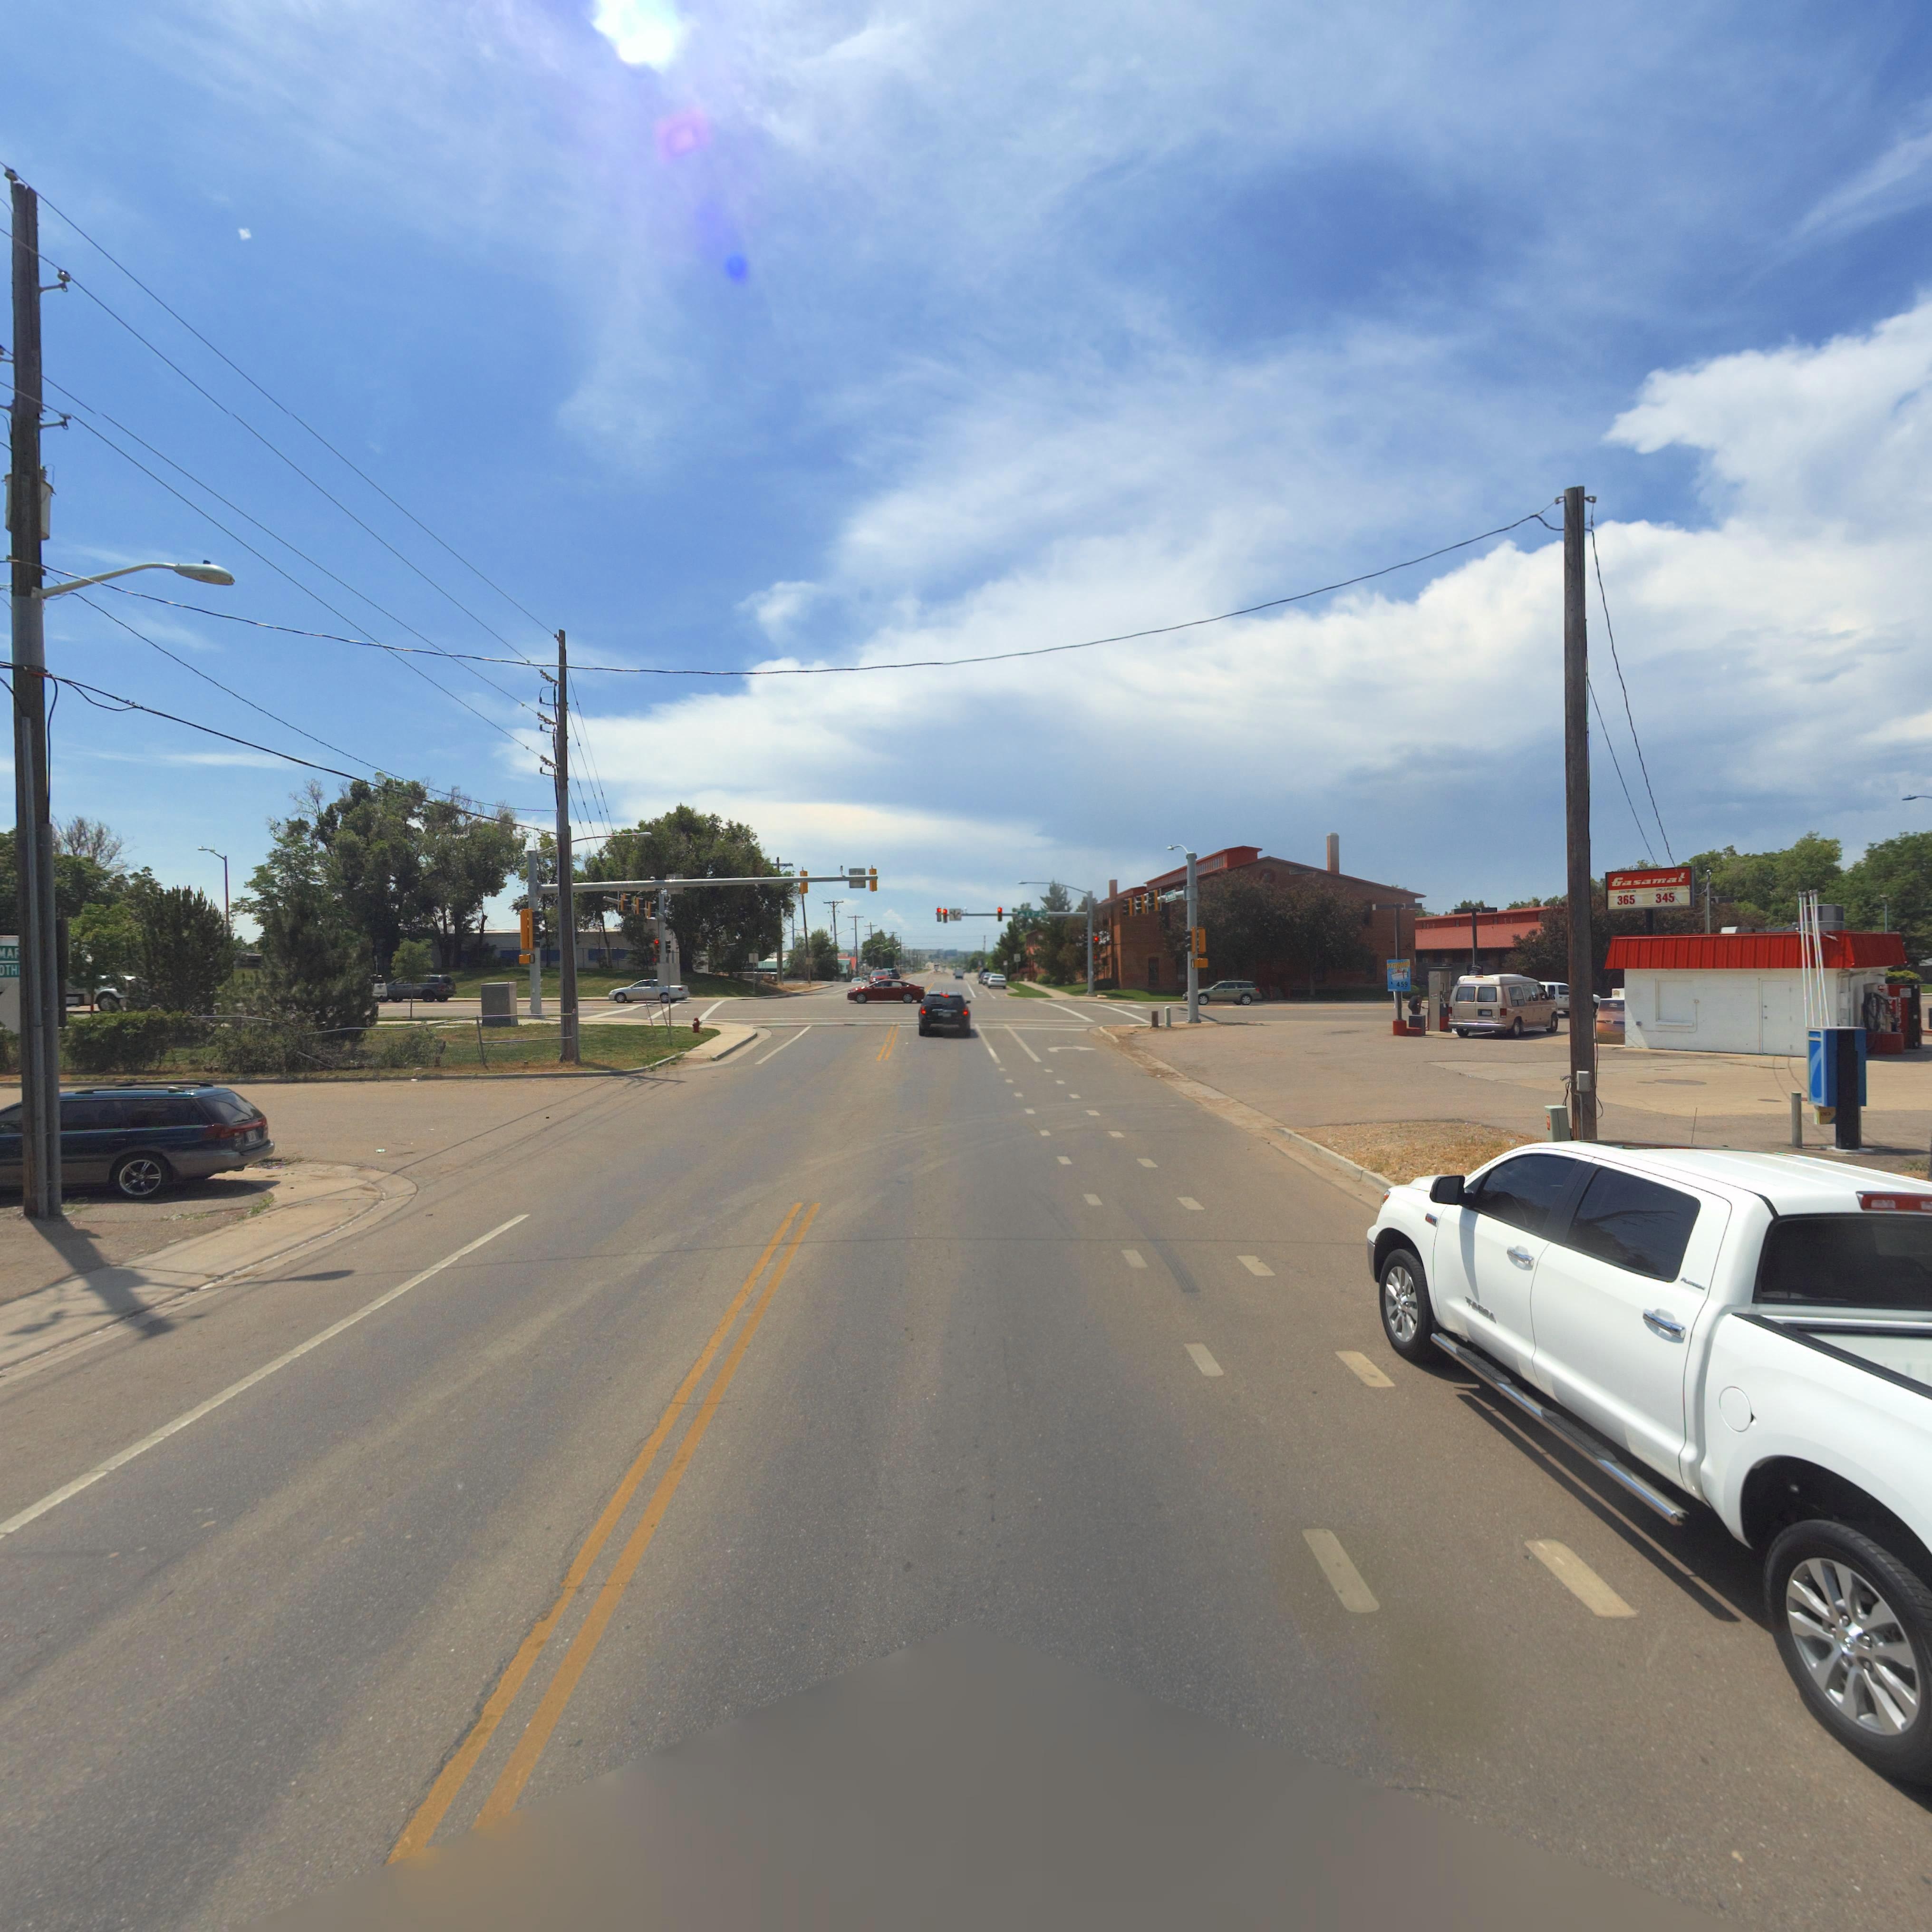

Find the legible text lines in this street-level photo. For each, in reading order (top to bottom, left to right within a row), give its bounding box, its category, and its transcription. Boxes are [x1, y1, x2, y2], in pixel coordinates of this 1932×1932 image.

[1611, 872, 1685, 886] BusinessName: Gasamat
[1026, 911, 1045, 916] StreetName: E 3**Av